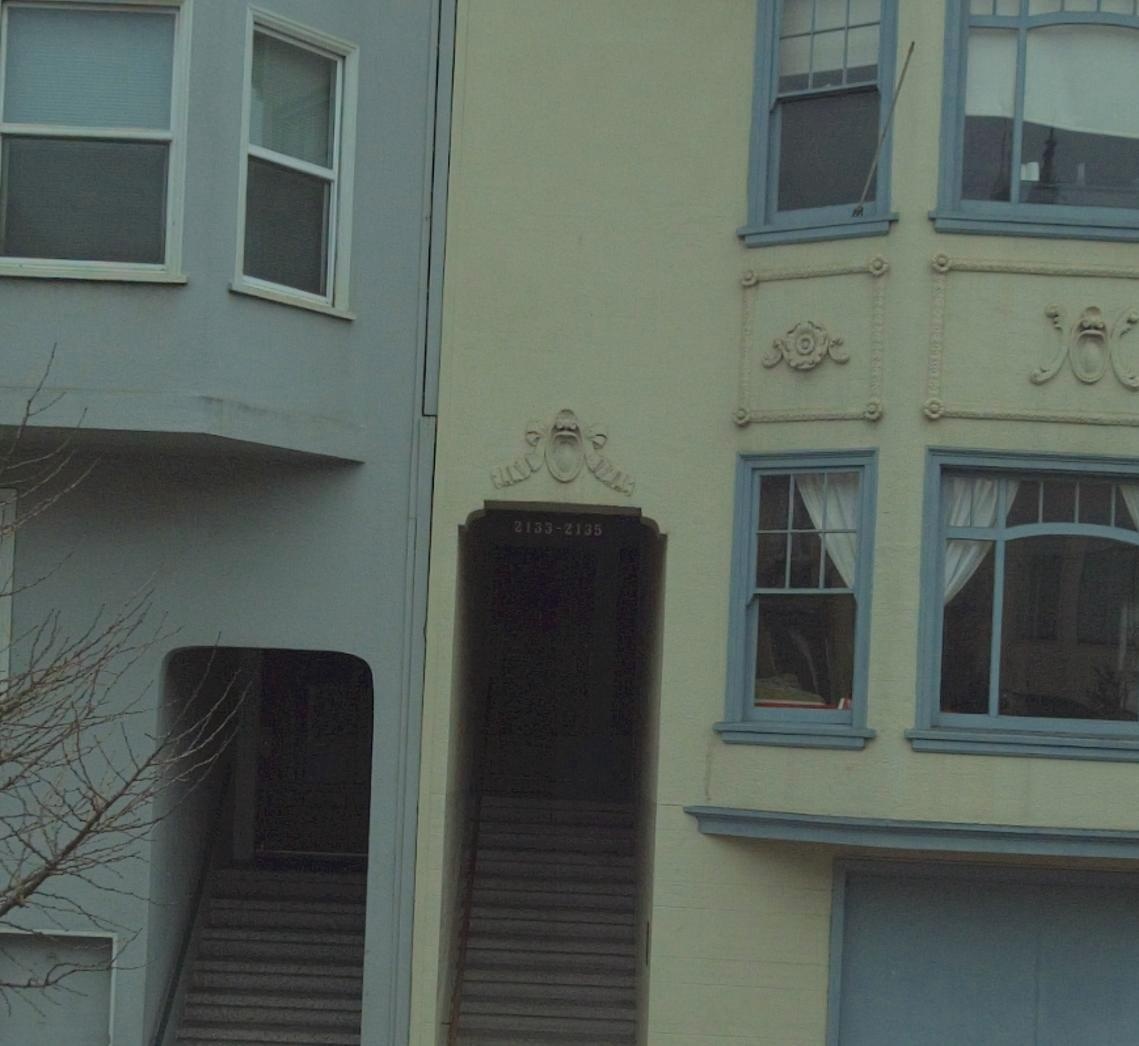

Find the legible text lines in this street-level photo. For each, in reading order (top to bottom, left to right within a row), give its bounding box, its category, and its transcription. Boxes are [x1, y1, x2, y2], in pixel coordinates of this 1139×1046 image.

[512, 519, 554, 536] StreetNumber: 2133-2135
[562, 521, 604, 538] StreetNumber: 2135